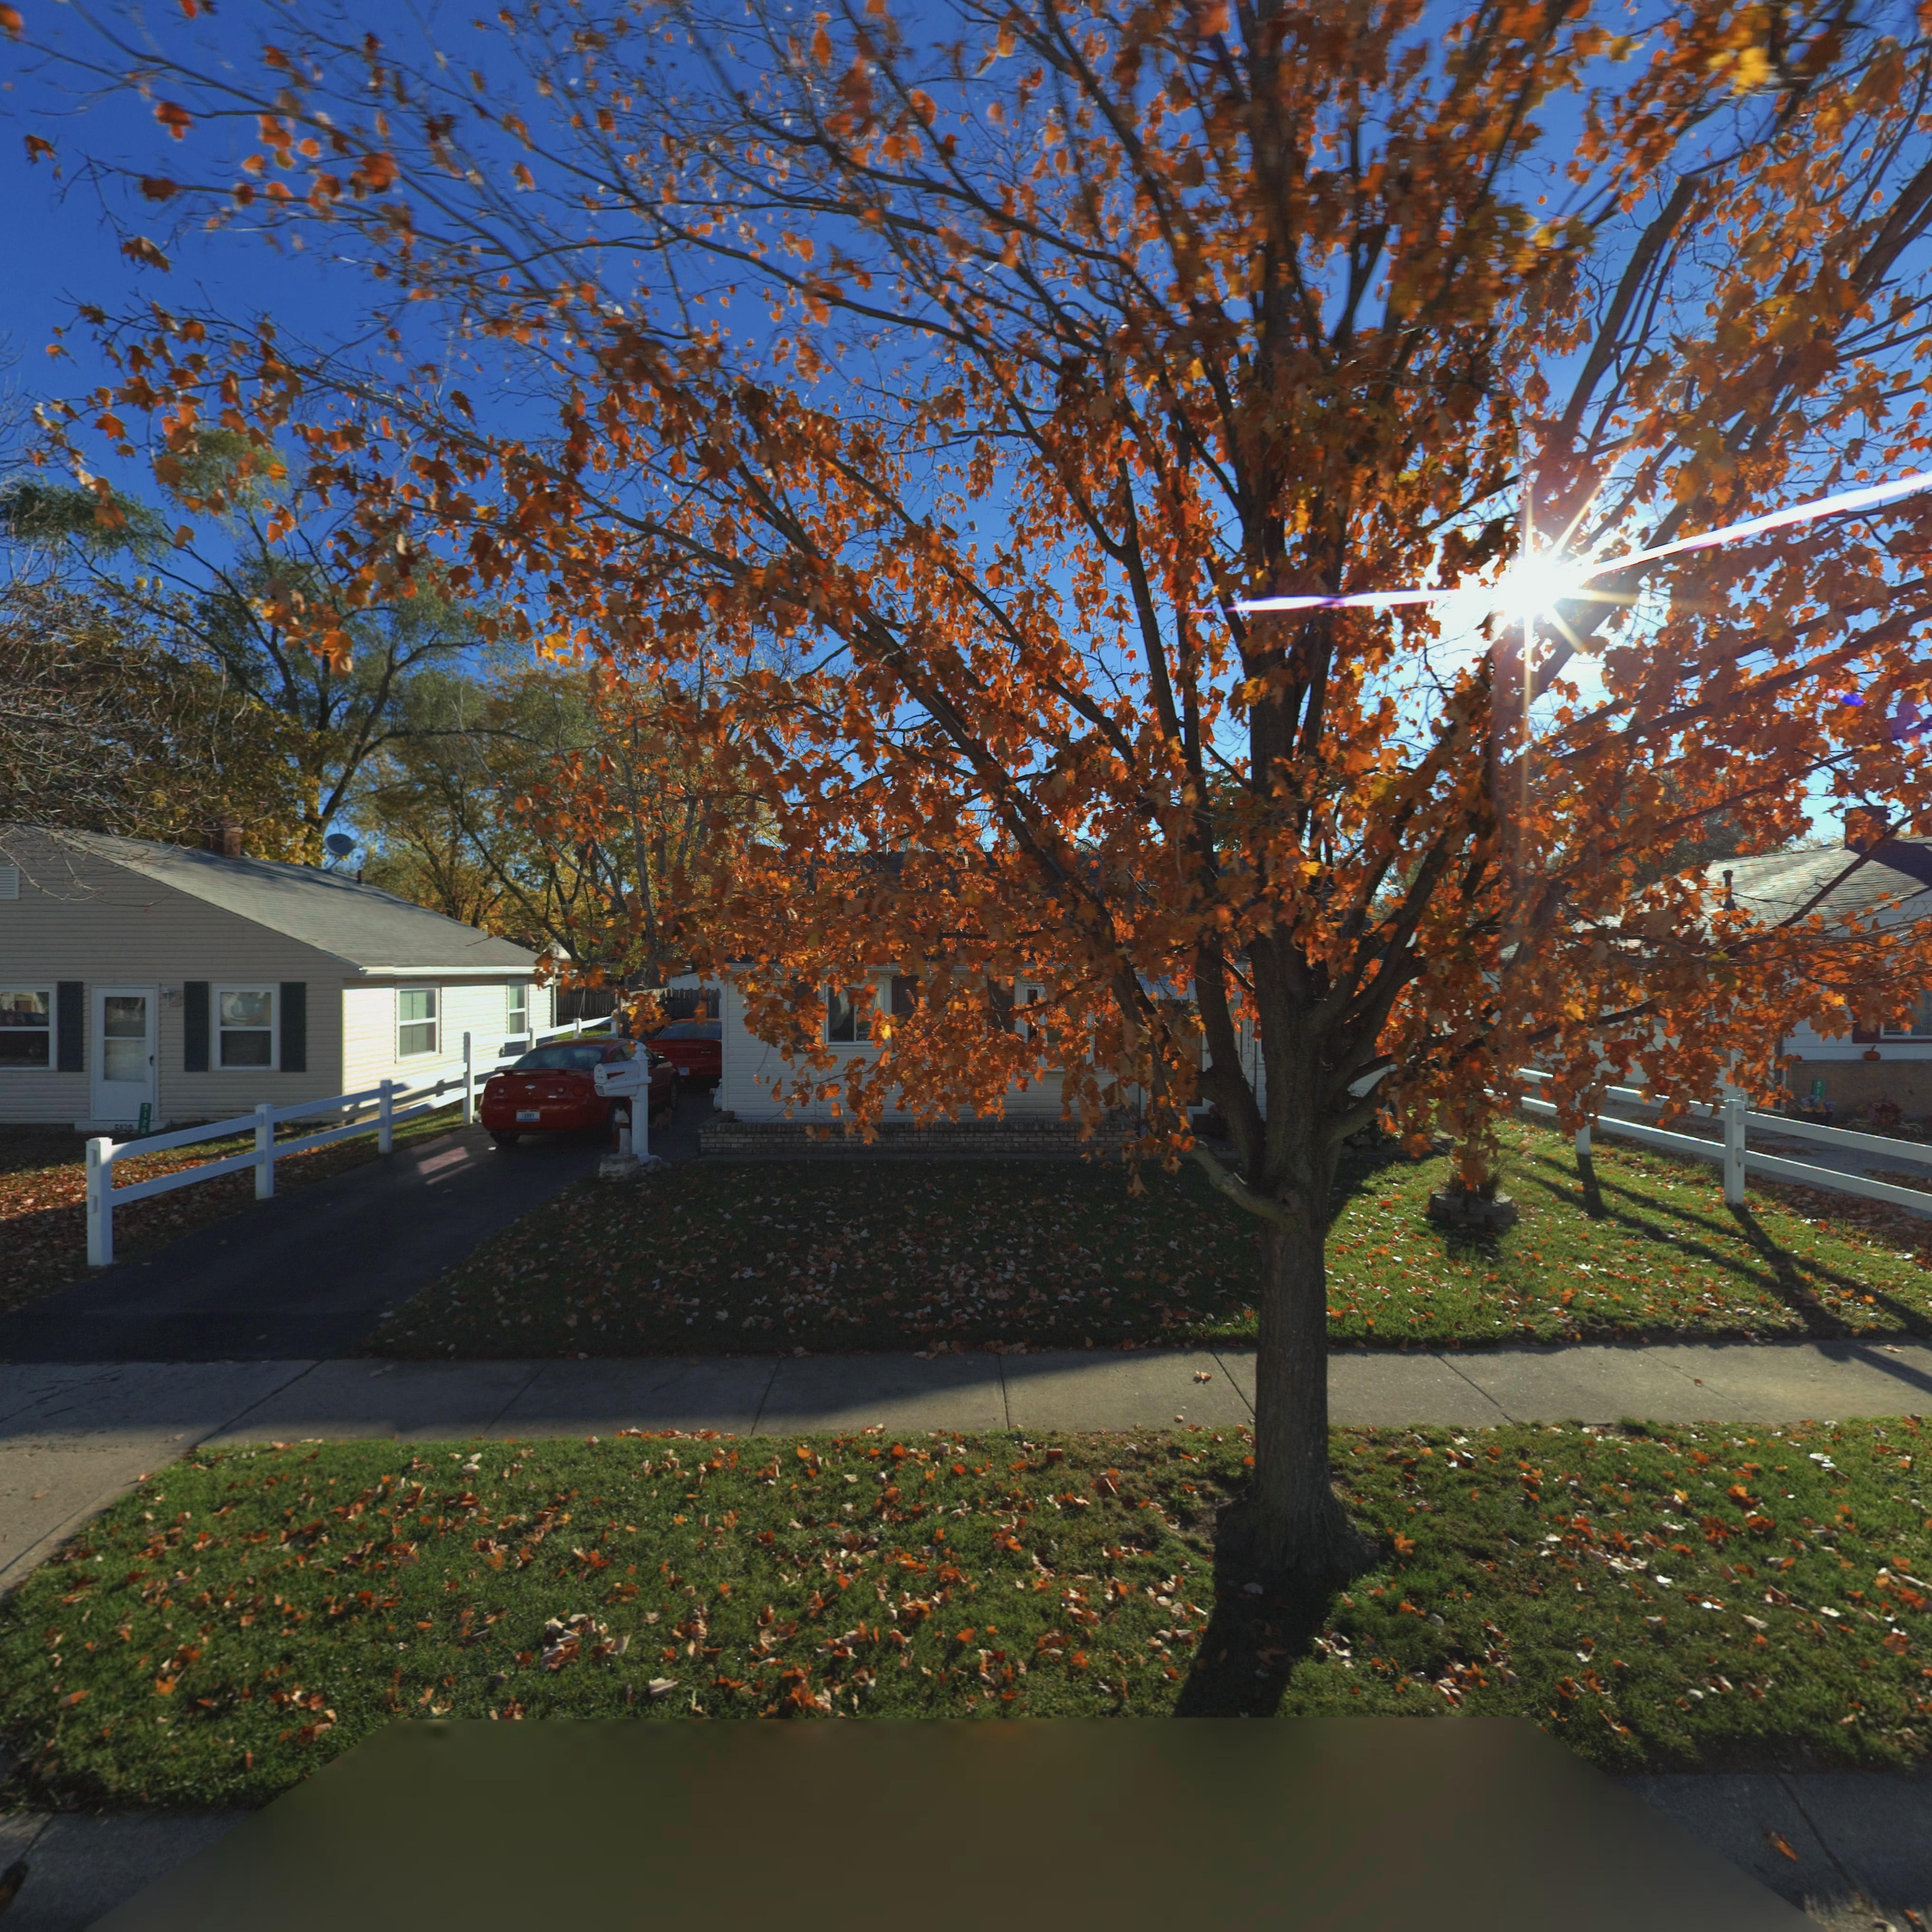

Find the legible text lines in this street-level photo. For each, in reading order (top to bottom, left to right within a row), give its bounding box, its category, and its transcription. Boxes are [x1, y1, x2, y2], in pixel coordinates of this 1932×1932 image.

[1815, 1081, 1822, 1095] StreetNumber: 51
[139, 1103, 150, 1134] StreetNumber: 5120
[114, 1124, 134, 1132] StreetNumber: *120